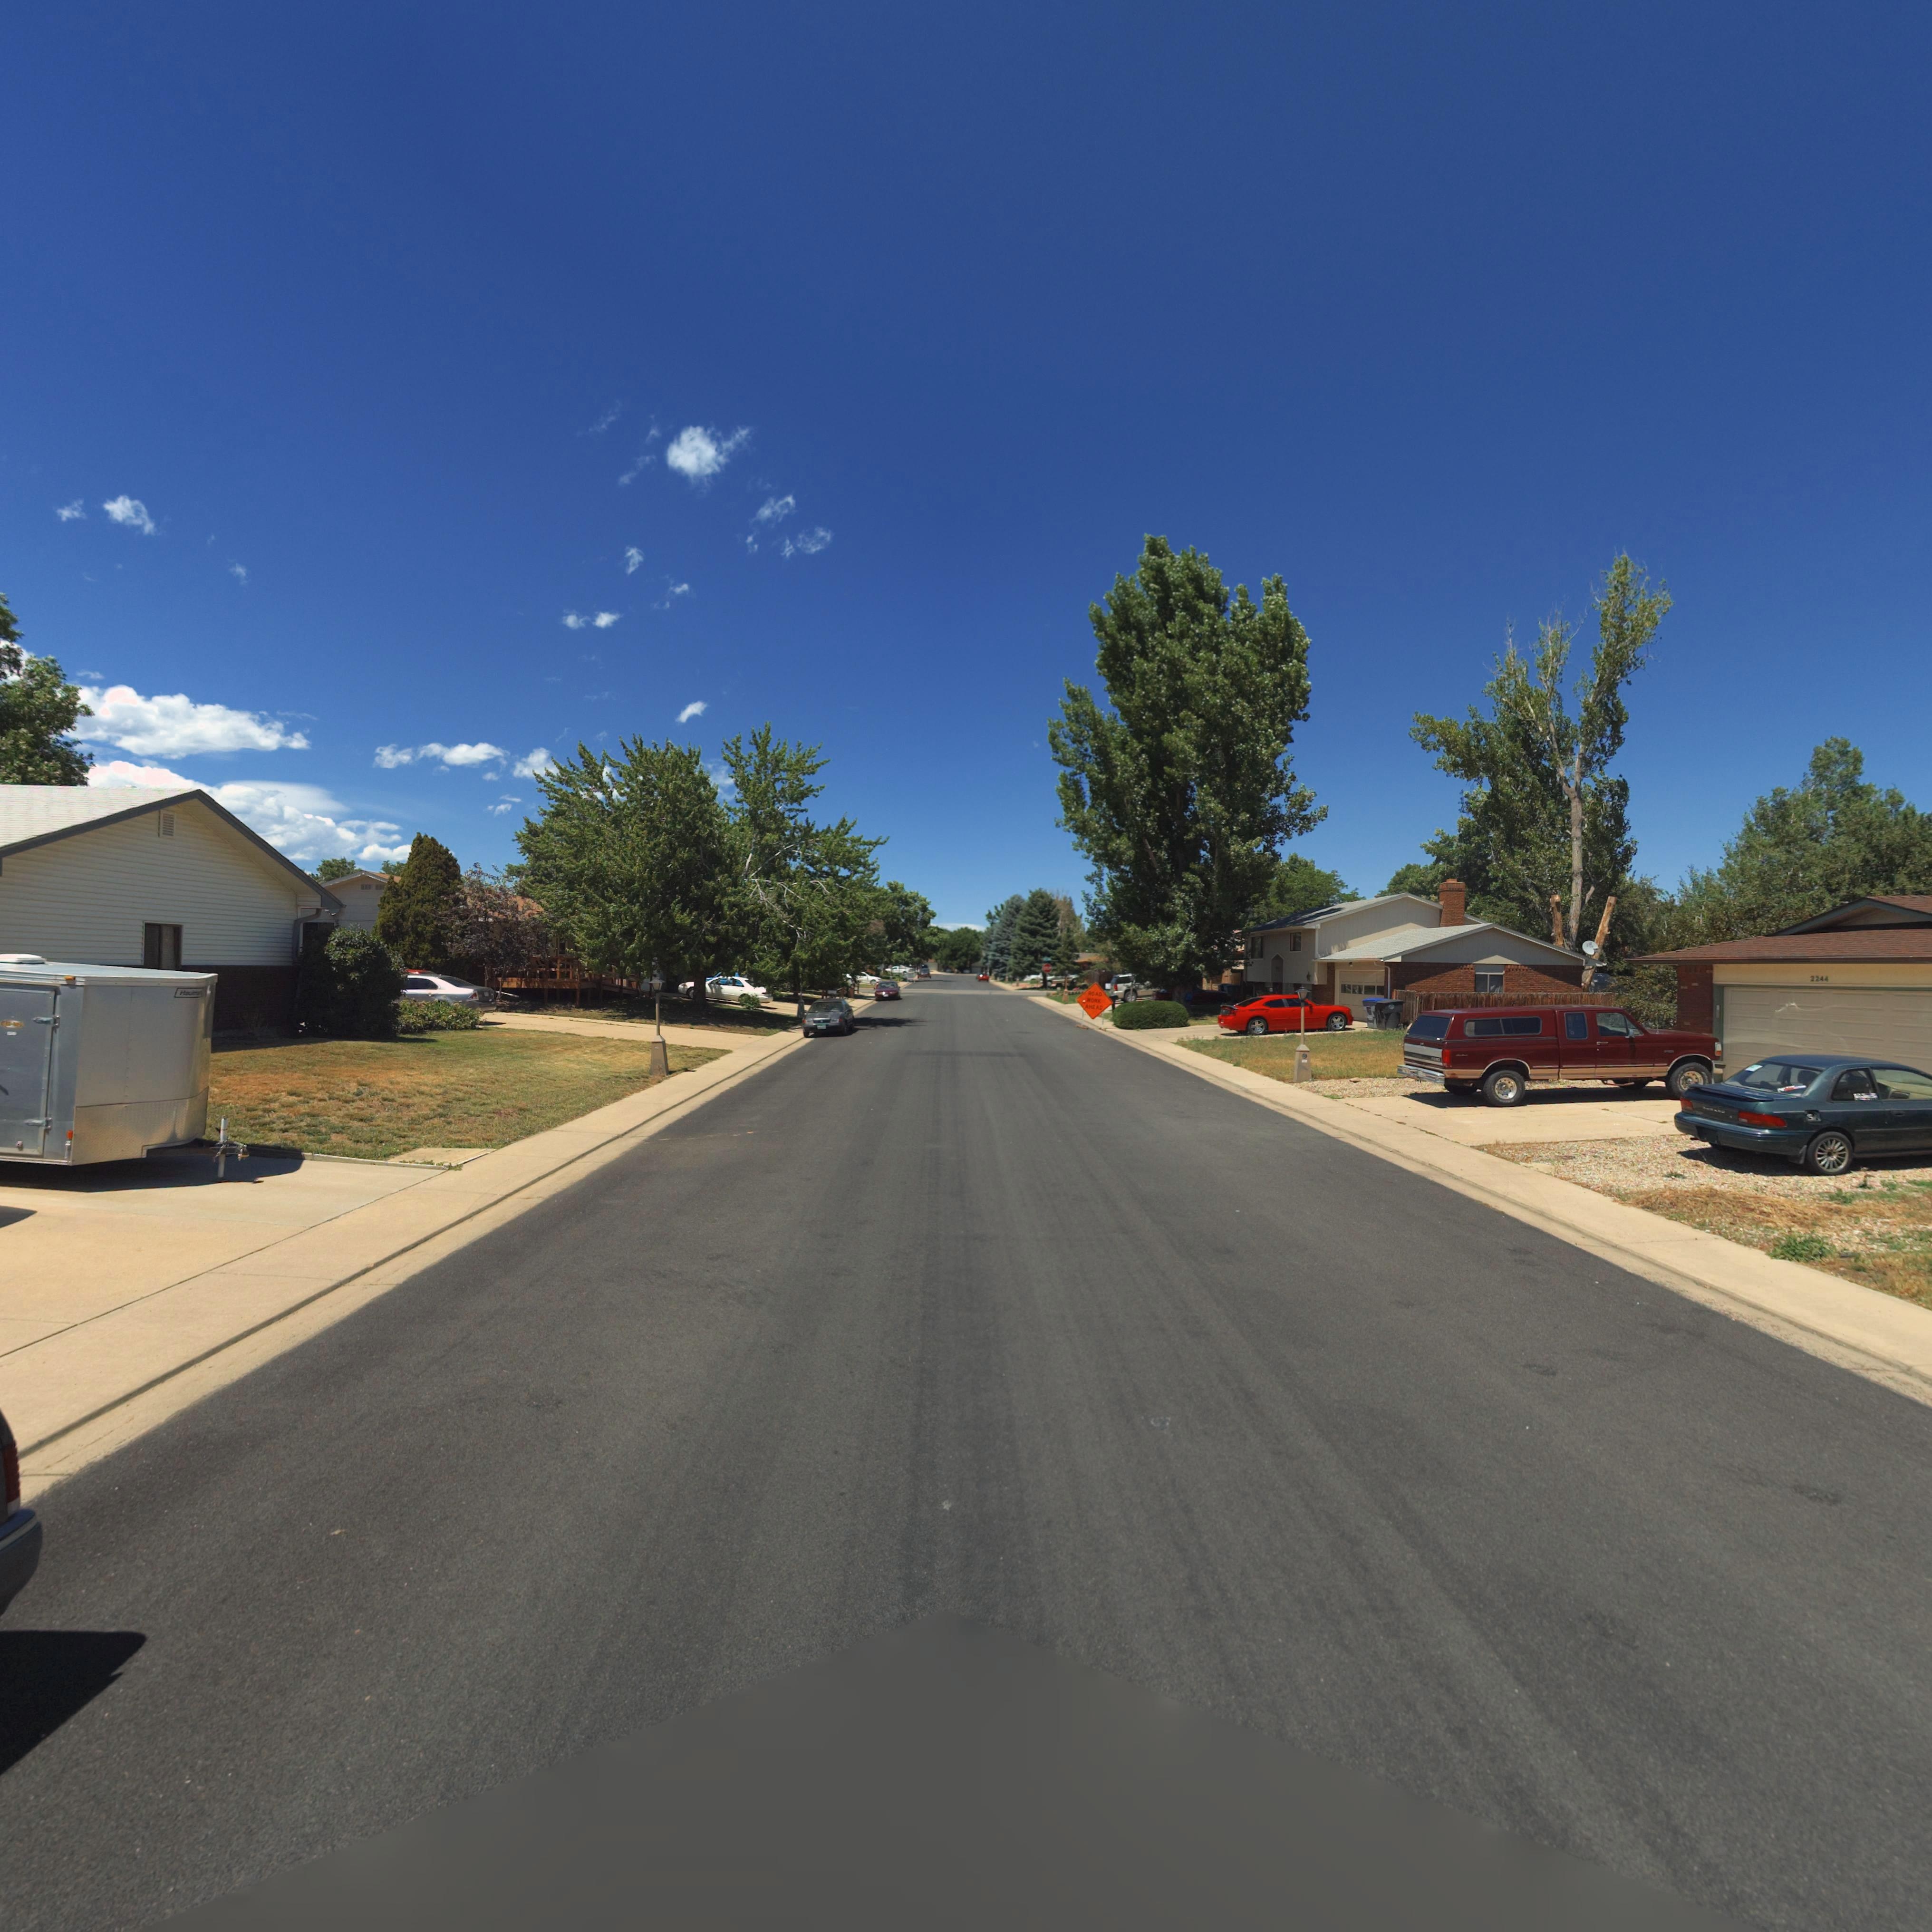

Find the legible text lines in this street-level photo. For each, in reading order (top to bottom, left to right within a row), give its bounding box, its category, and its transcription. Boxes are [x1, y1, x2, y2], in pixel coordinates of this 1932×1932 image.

[1809, 975, 1830, 982] StreetNumber: 2244